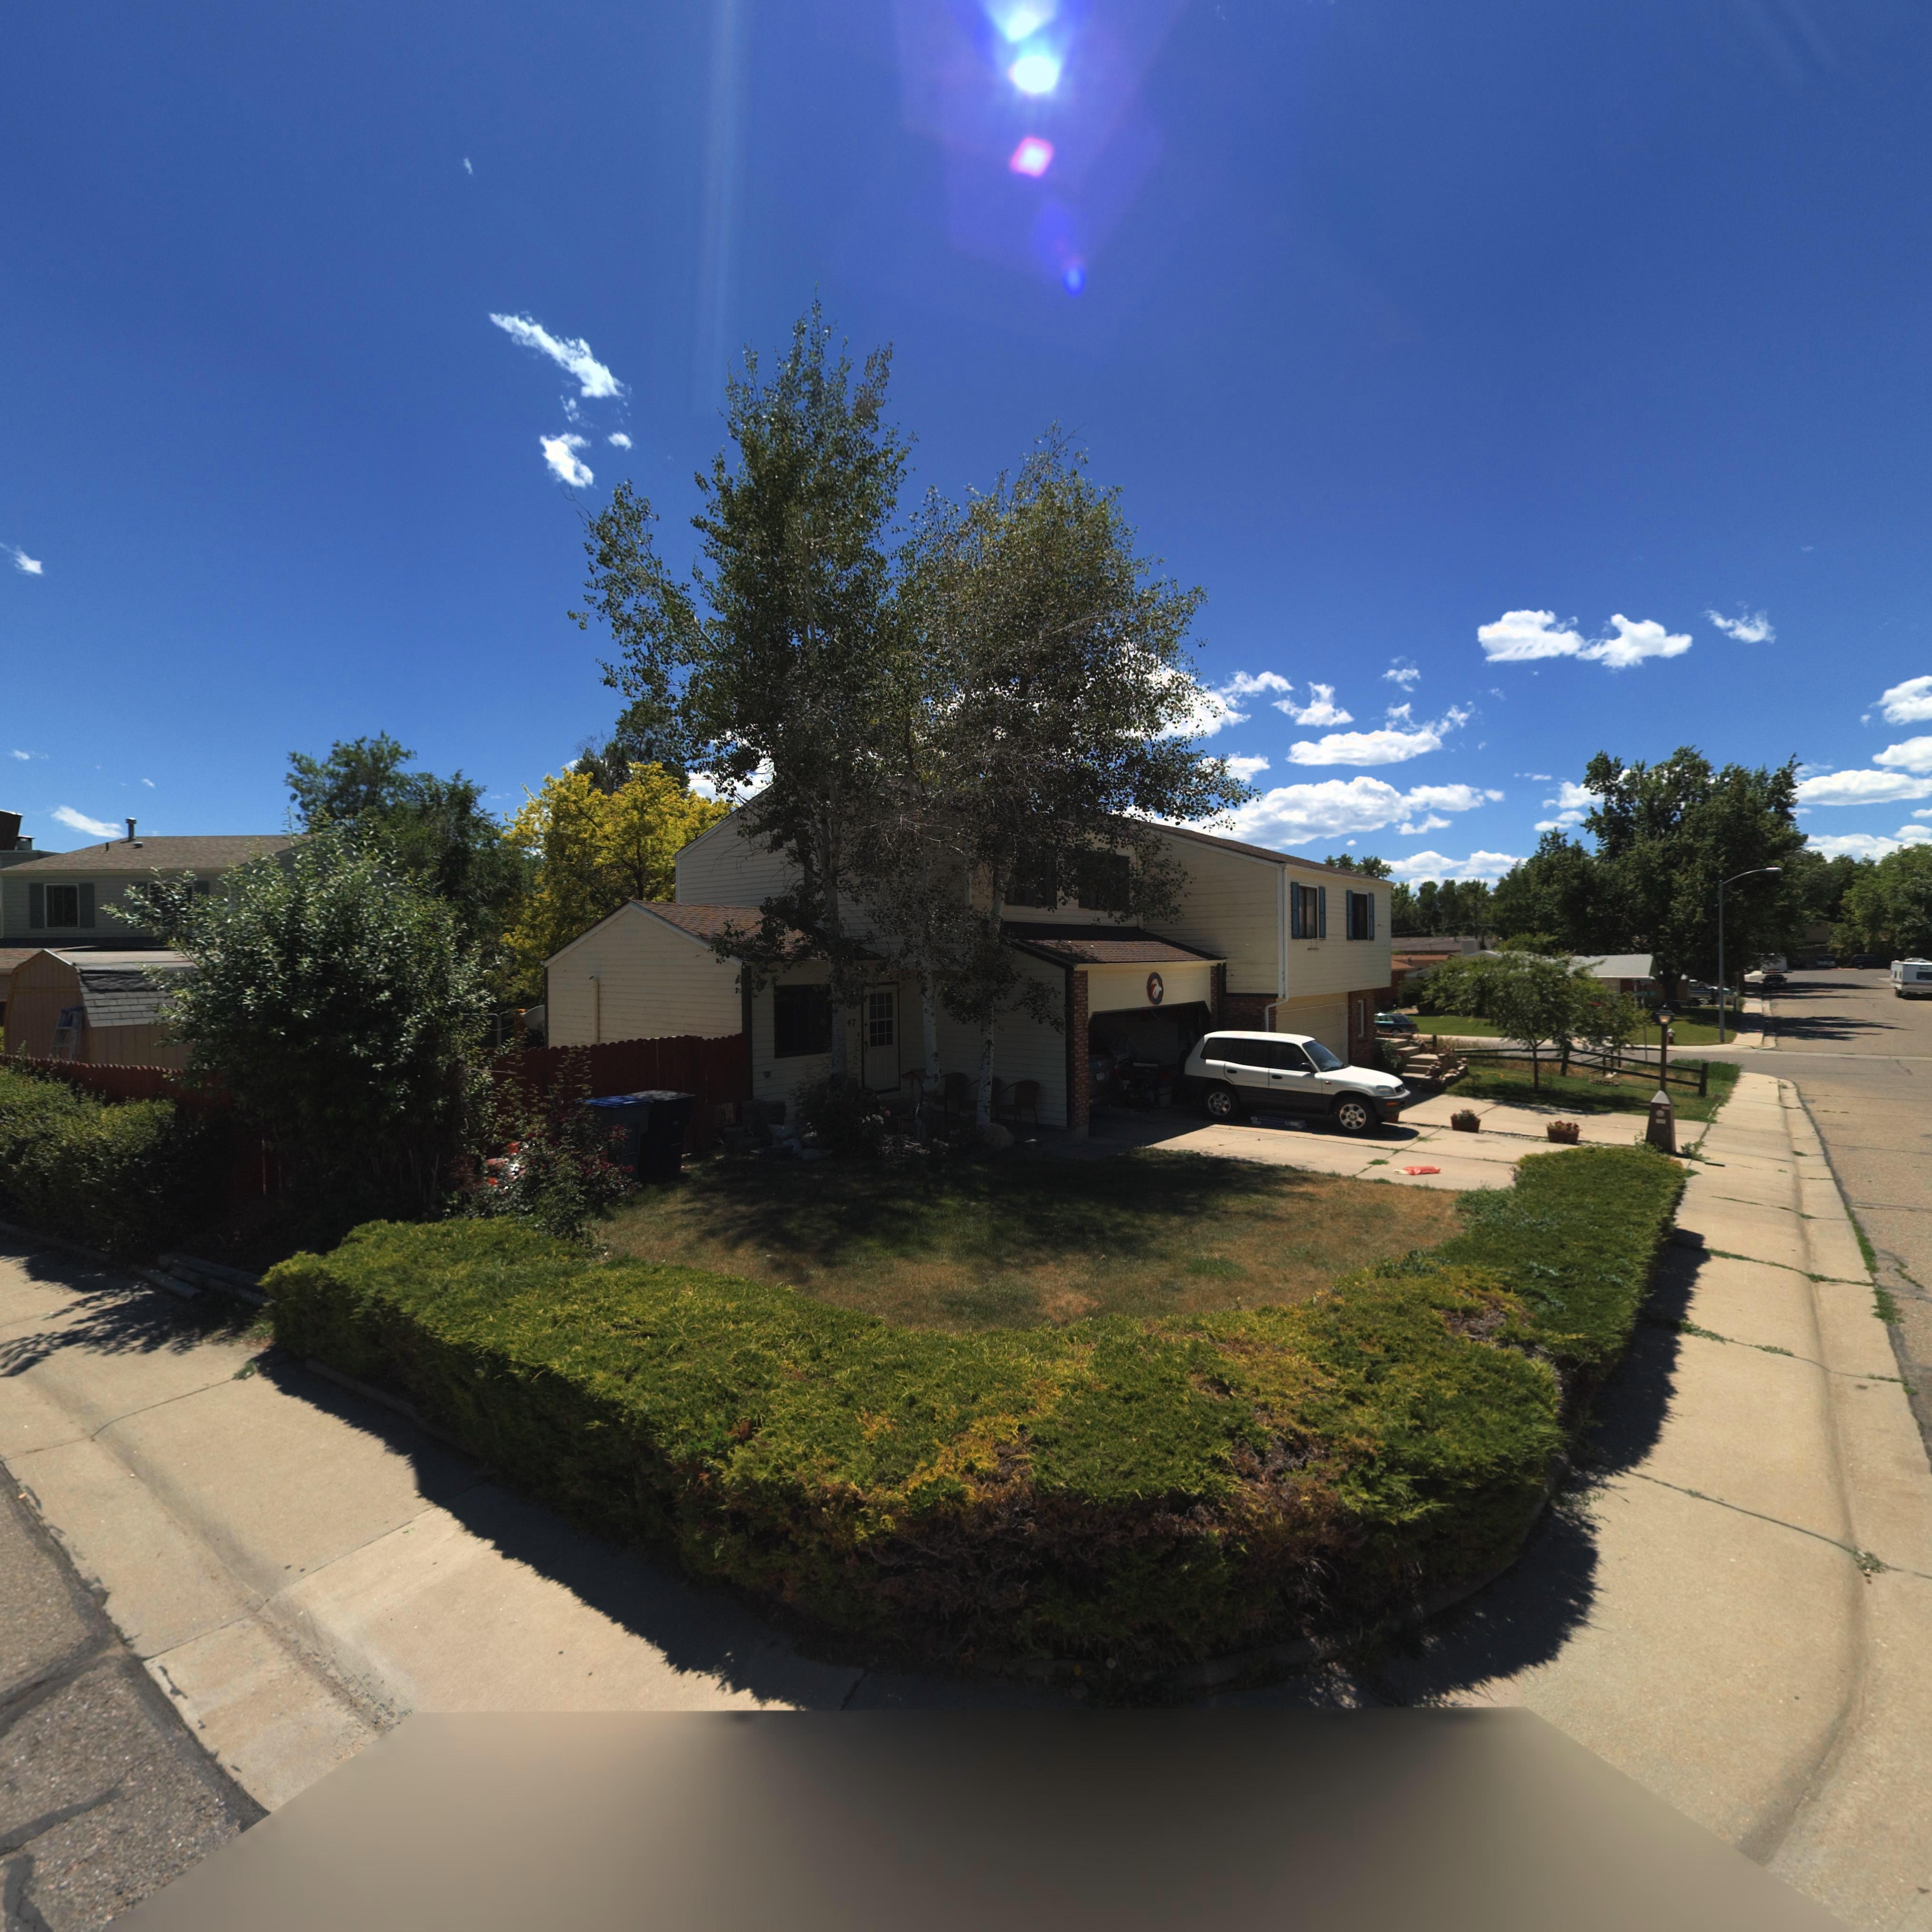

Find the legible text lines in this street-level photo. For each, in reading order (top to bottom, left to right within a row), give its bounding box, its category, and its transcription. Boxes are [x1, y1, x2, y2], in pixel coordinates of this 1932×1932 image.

[847, 1018, 856, 1026] StreetNumber: 47